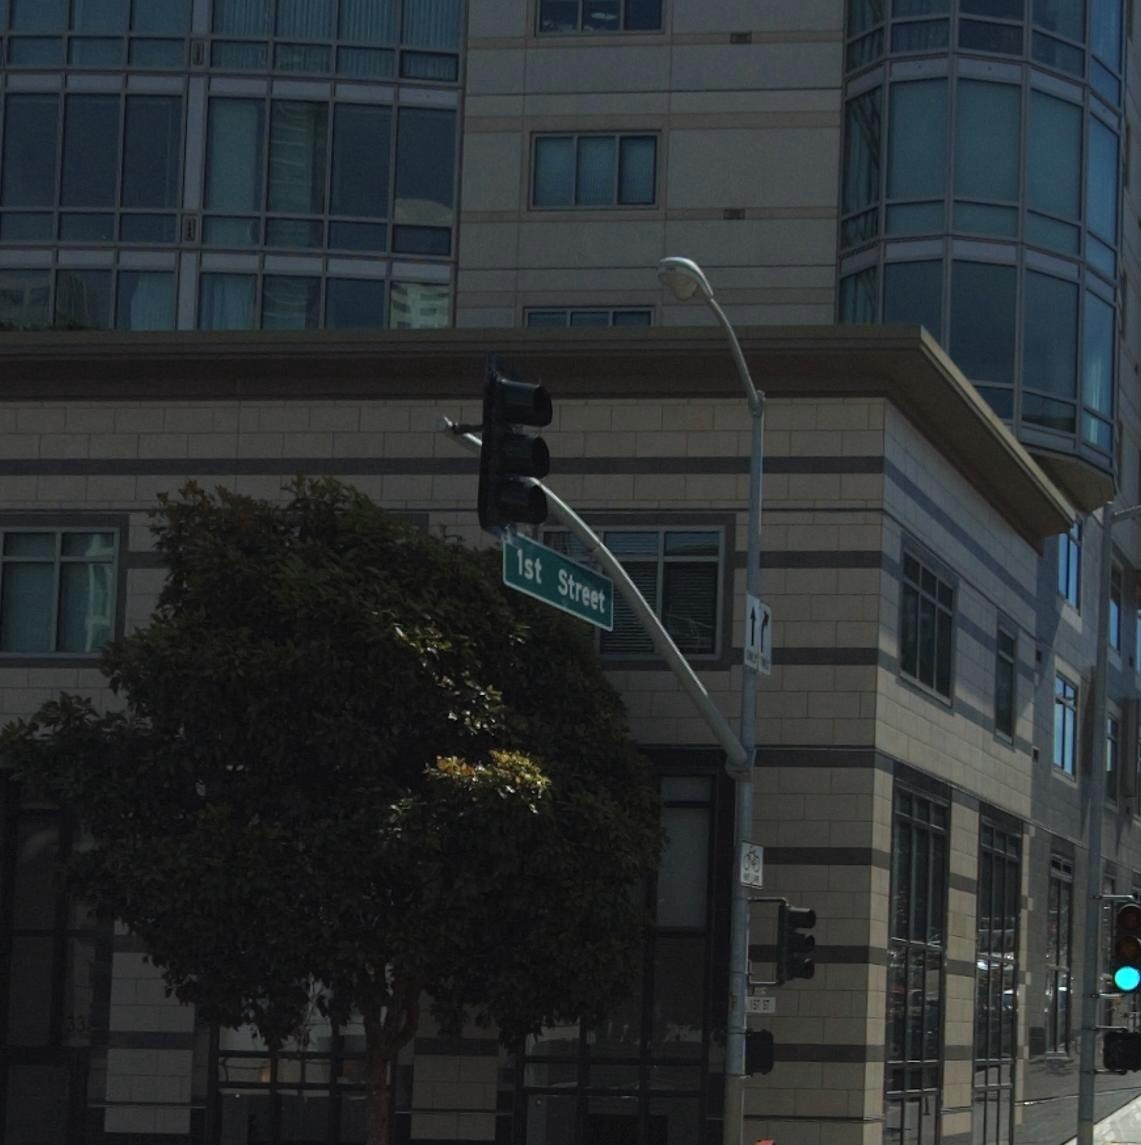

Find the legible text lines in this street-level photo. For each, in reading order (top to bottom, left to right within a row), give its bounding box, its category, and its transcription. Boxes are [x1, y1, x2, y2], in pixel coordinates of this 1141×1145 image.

[513, 545, 608, 615] StreetName: 1st Street
[748, 999, 770, 1010] StreetName: 1ST ST